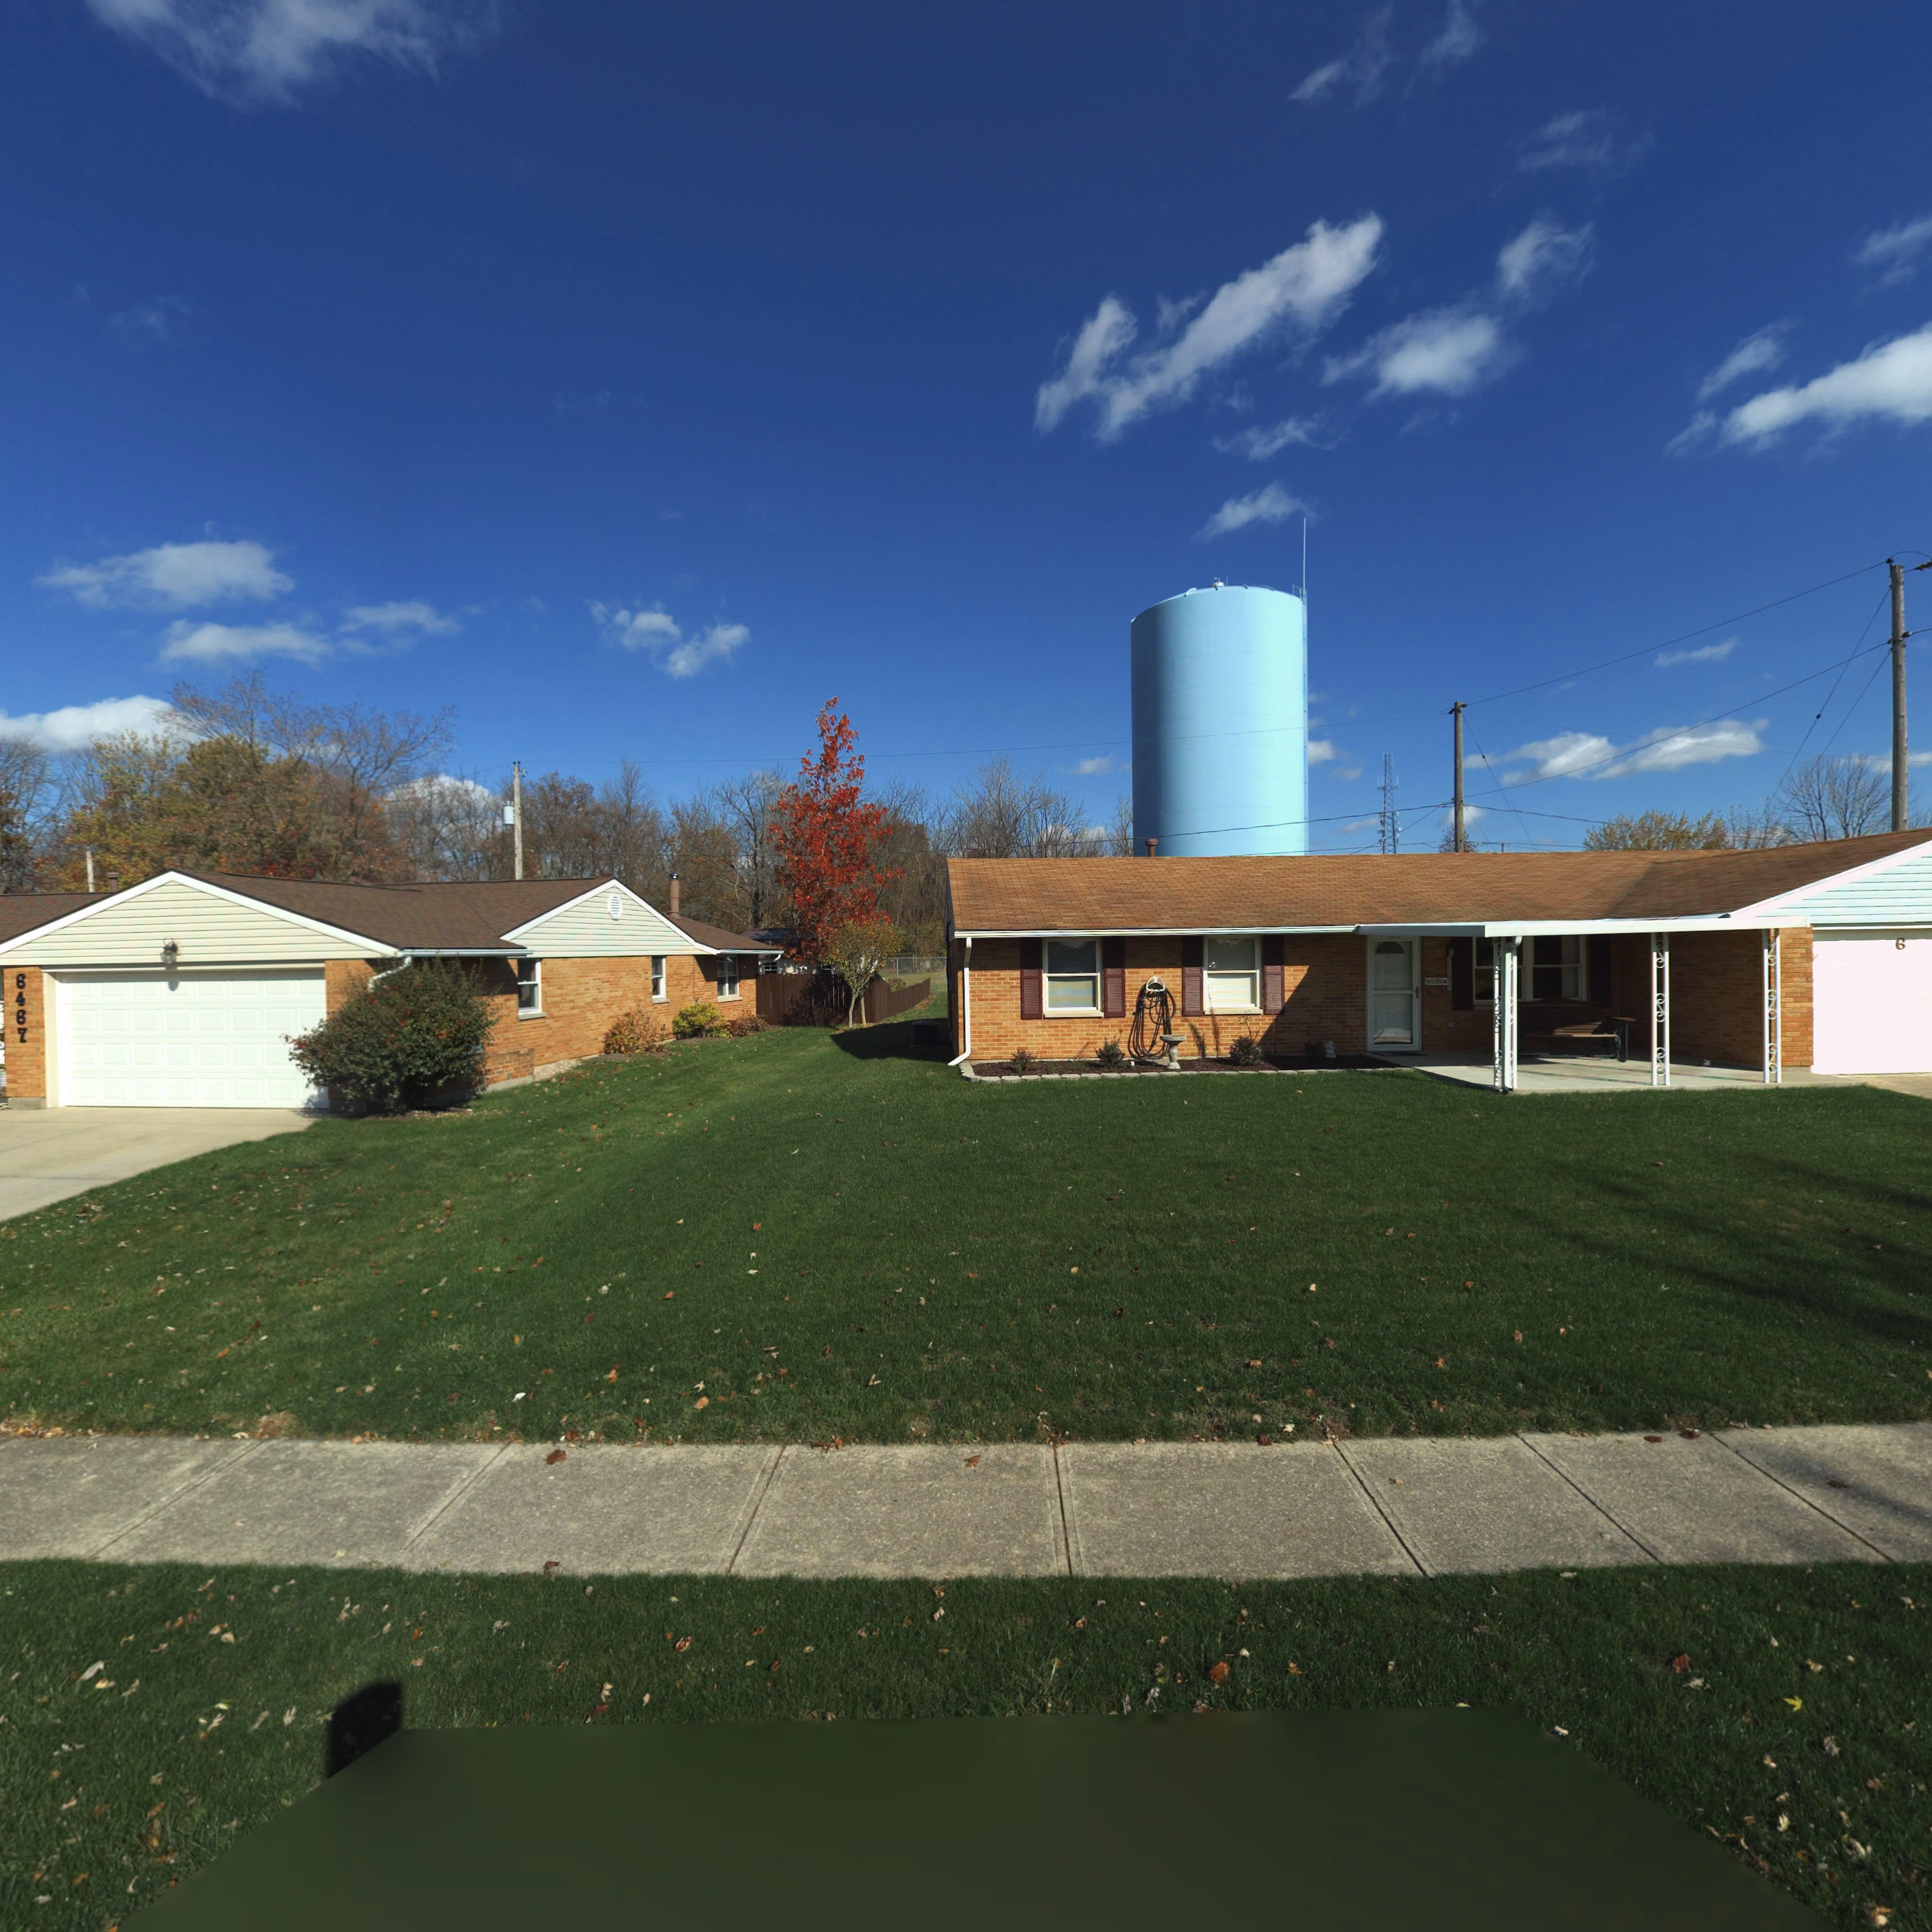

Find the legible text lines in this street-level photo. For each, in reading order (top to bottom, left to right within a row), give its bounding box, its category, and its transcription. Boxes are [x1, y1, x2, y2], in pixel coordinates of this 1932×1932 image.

[1895, 937, 1905, 950] StreetNumber: 6
[1447, 957, 1451, 990] StreetNumber: 6501
[15, 974, 27, 1043] StreetNumber: 6467